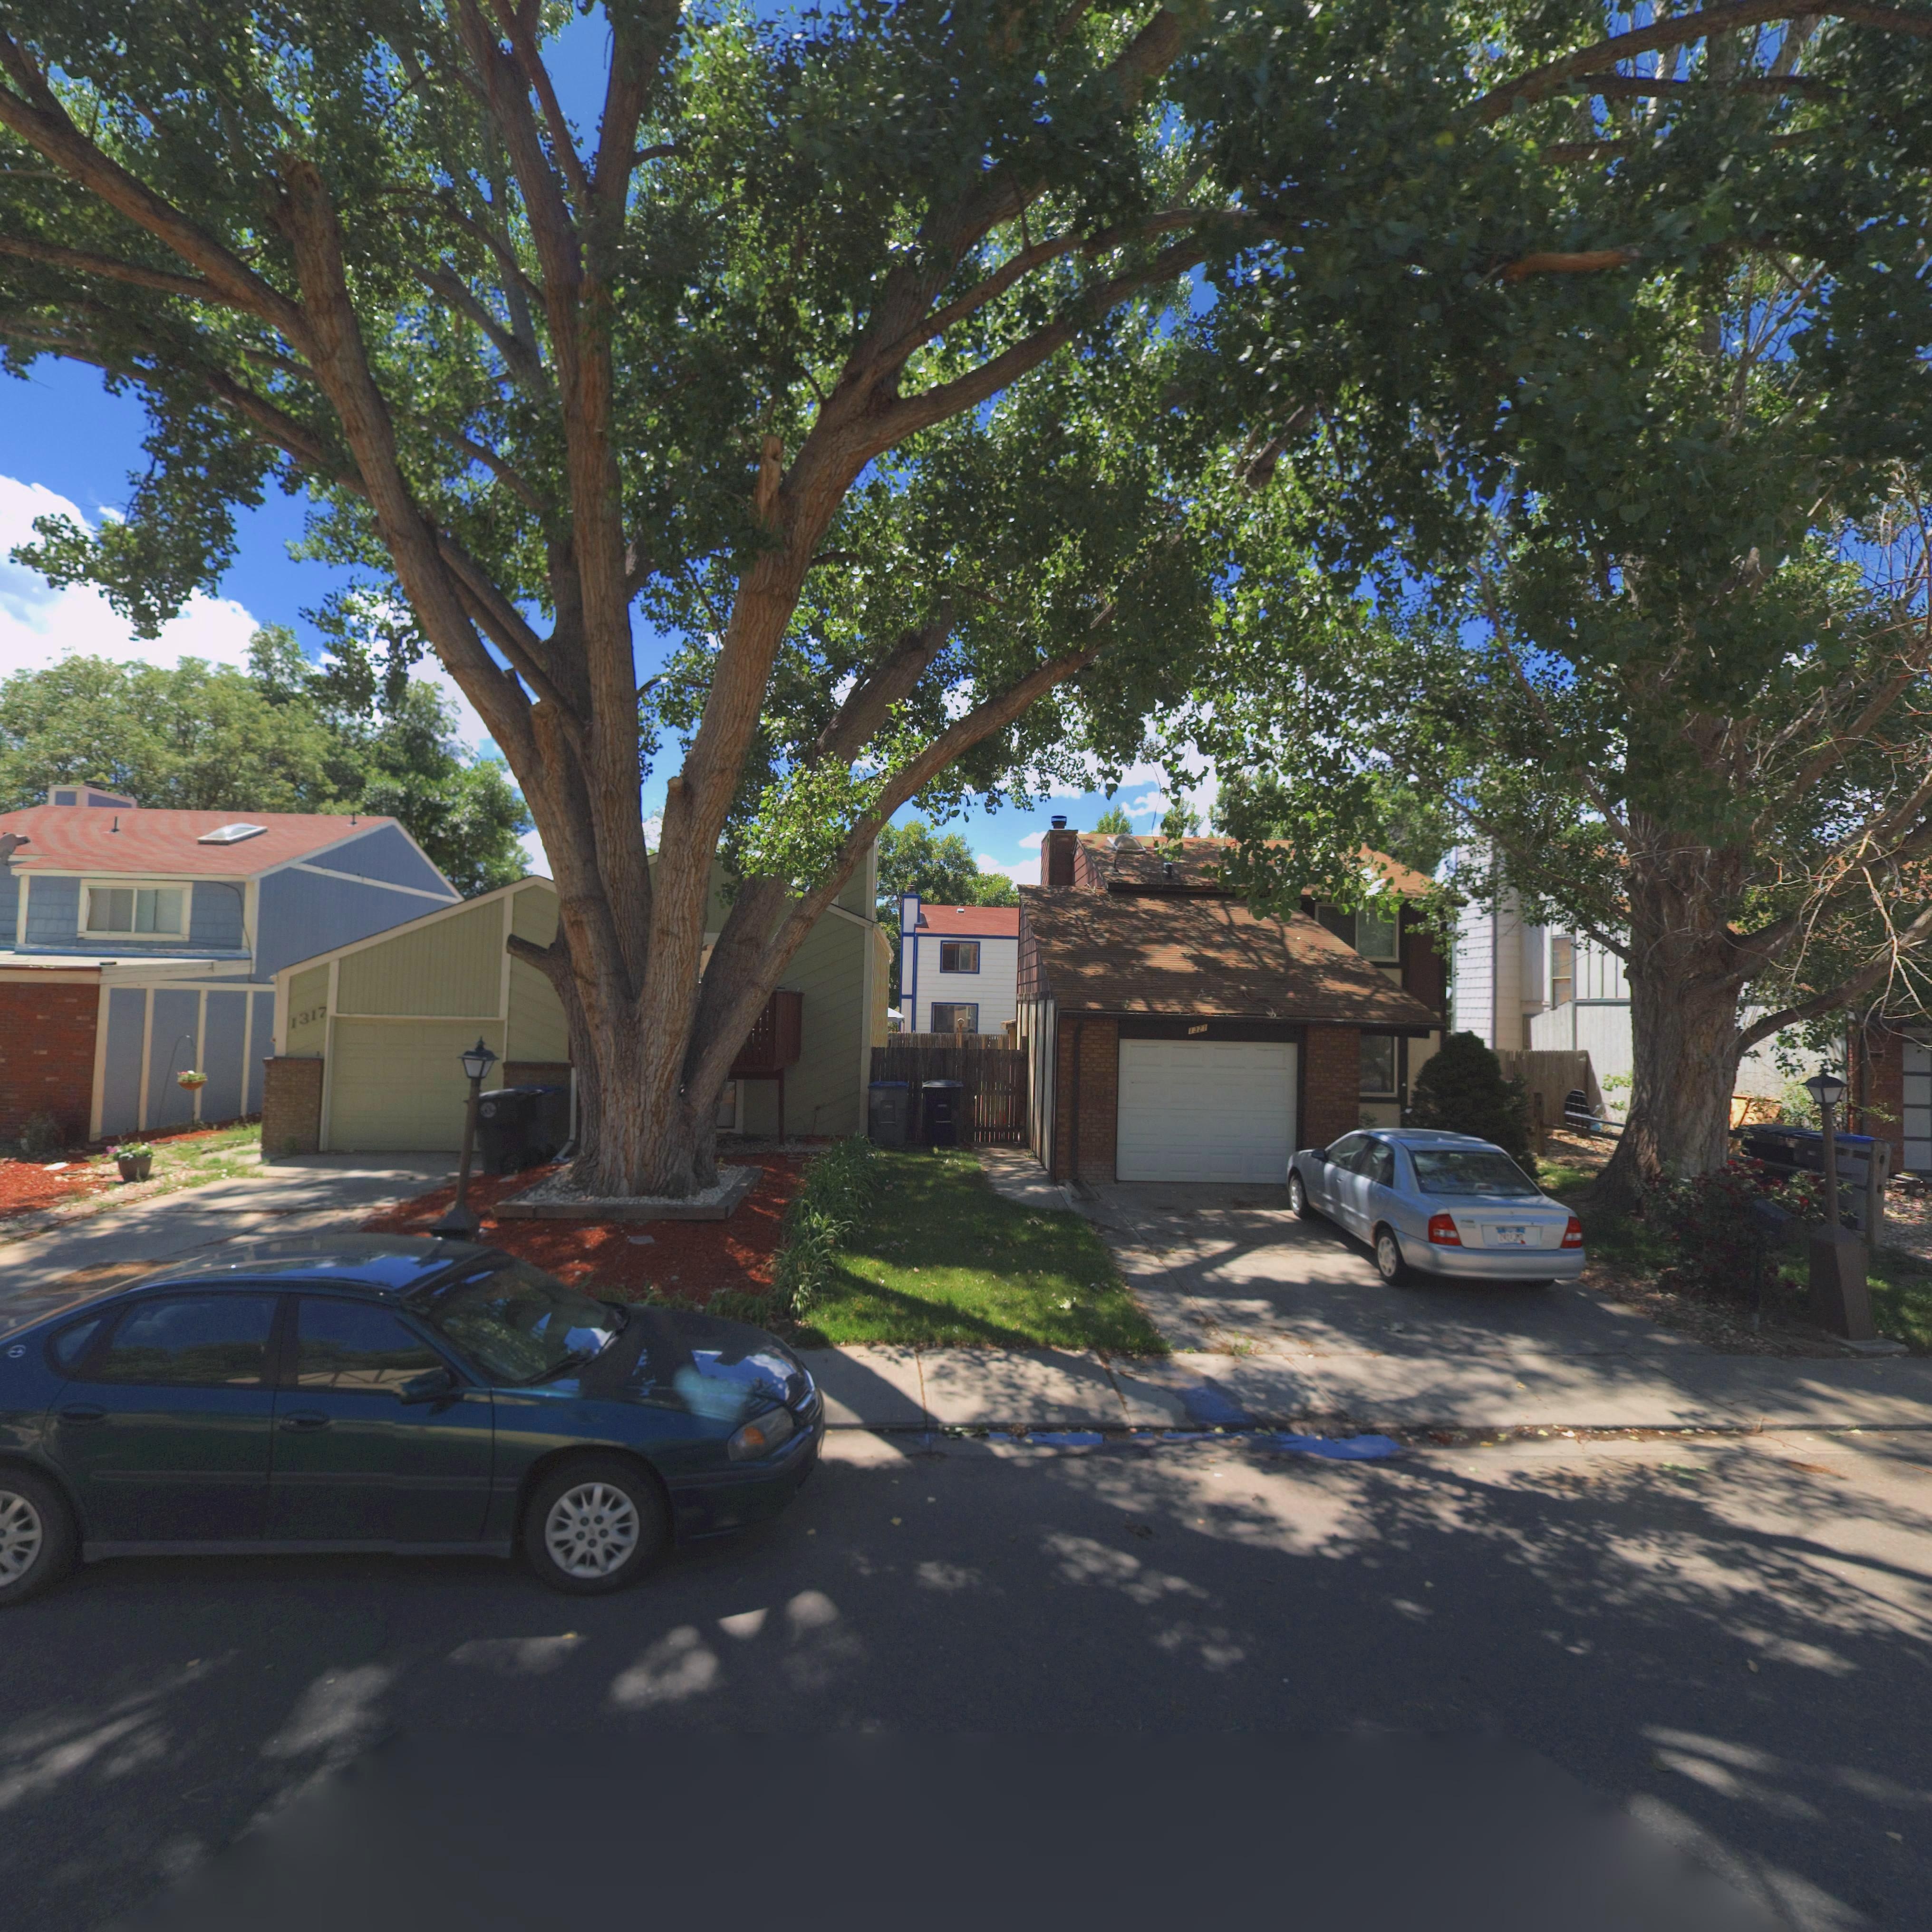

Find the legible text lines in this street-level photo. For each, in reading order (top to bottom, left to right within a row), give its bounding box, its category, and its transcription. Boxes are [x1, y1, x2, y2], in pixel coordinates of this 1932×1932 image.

[291, 1006, 327, 1029] StreetNumber: 1317
[1189, 1024, 1206, 1034] StreetNumber: 1321